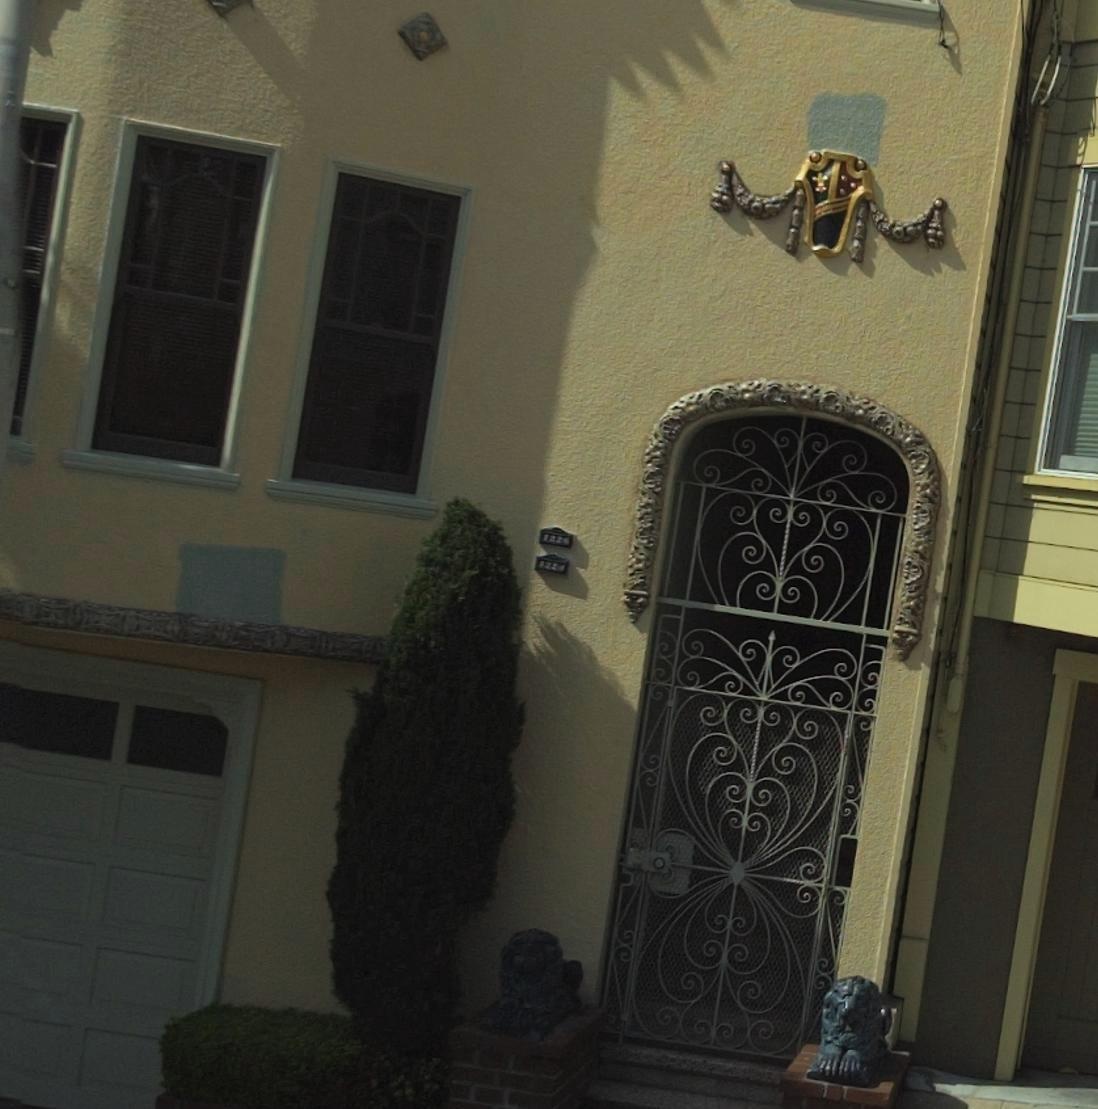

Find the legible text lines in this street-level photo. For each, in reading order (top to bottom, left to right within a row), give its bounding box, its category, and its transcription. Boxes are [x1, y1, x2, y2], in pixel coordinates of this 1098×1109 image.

[540, 532, 572, 547] StreetNumber: 1226
[535, 558, 567, 575] StreetNumber: 1224